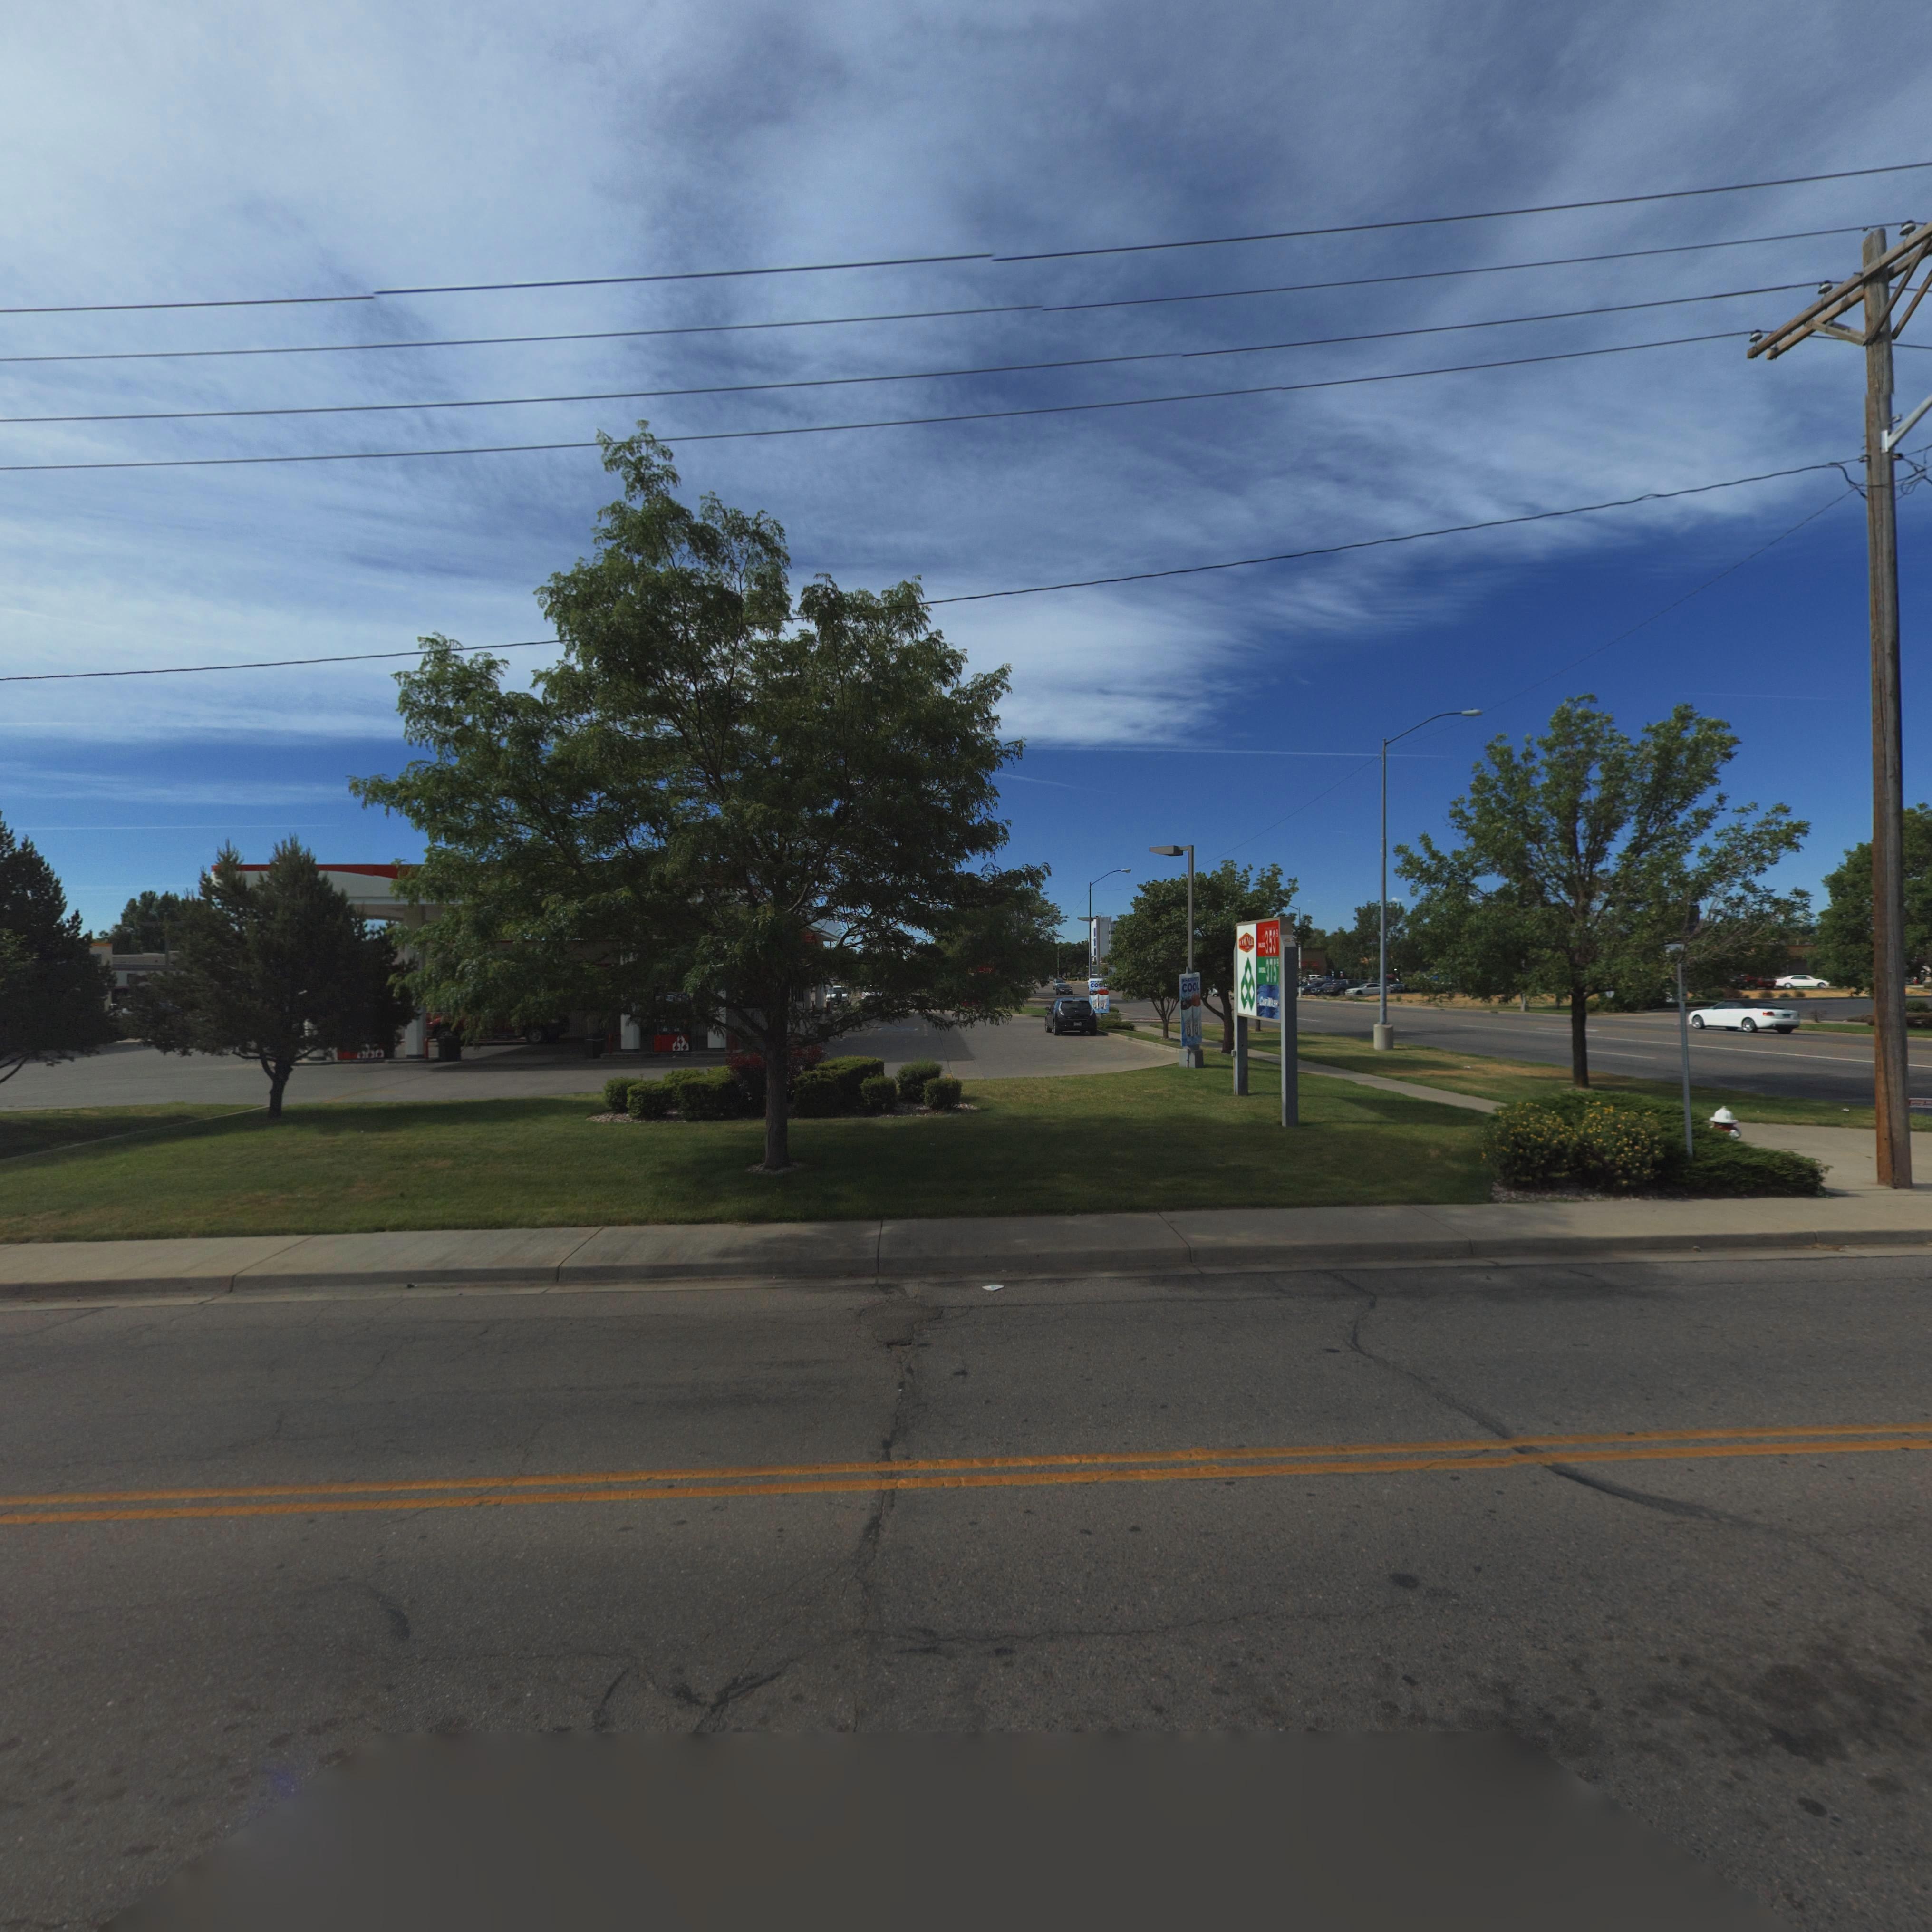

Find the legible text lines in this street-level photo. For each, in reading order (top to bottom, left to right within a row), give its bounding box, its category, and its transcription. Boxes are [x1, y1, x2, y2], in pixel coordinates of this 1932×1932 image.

[1239, 935, 1254, 946] BusinessName: *O*N**